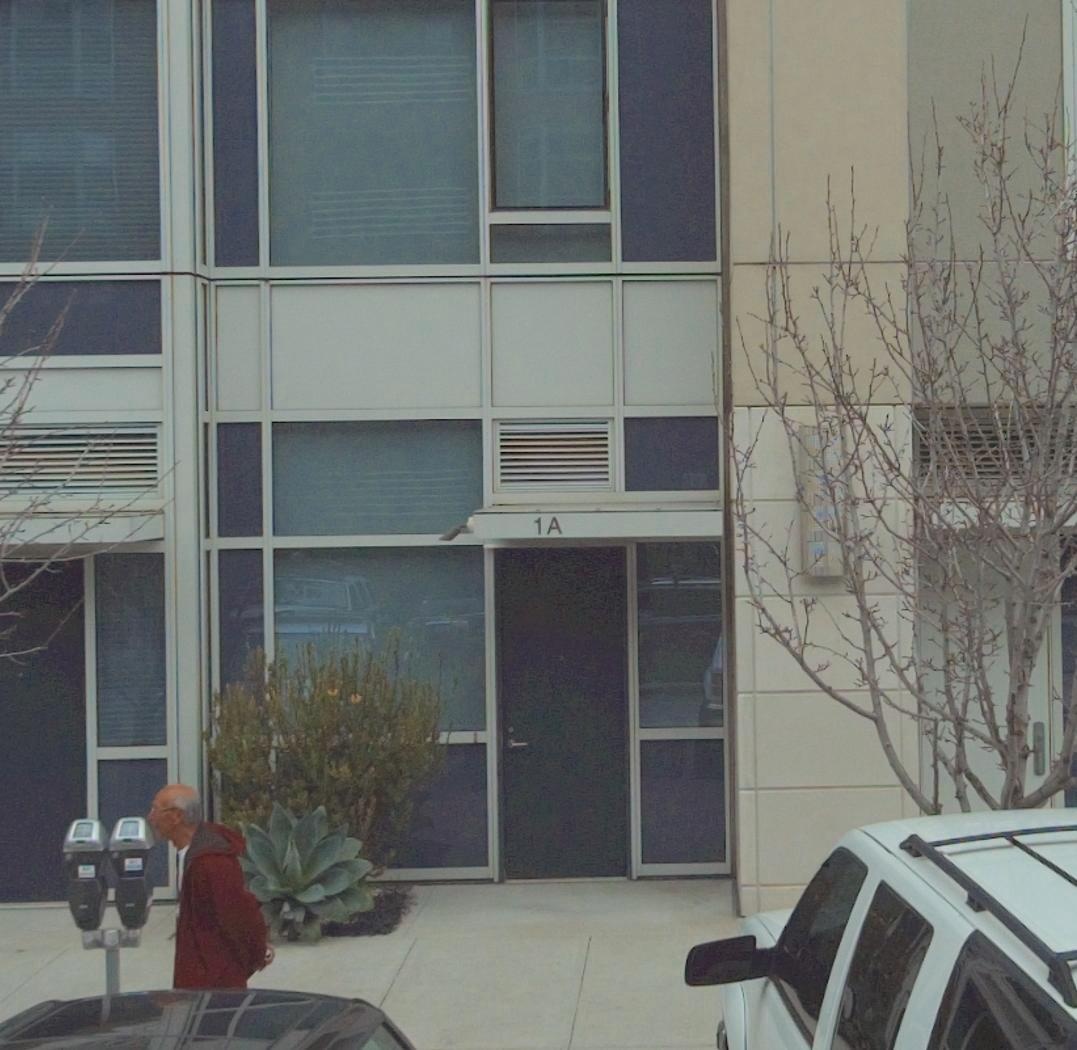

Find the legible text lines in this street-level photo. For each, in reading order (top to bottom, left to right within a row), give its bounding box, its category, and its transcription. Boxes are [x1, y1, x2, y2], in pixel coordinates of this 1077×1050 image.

[530, 514, 567, 537] StreetNumber: 1A